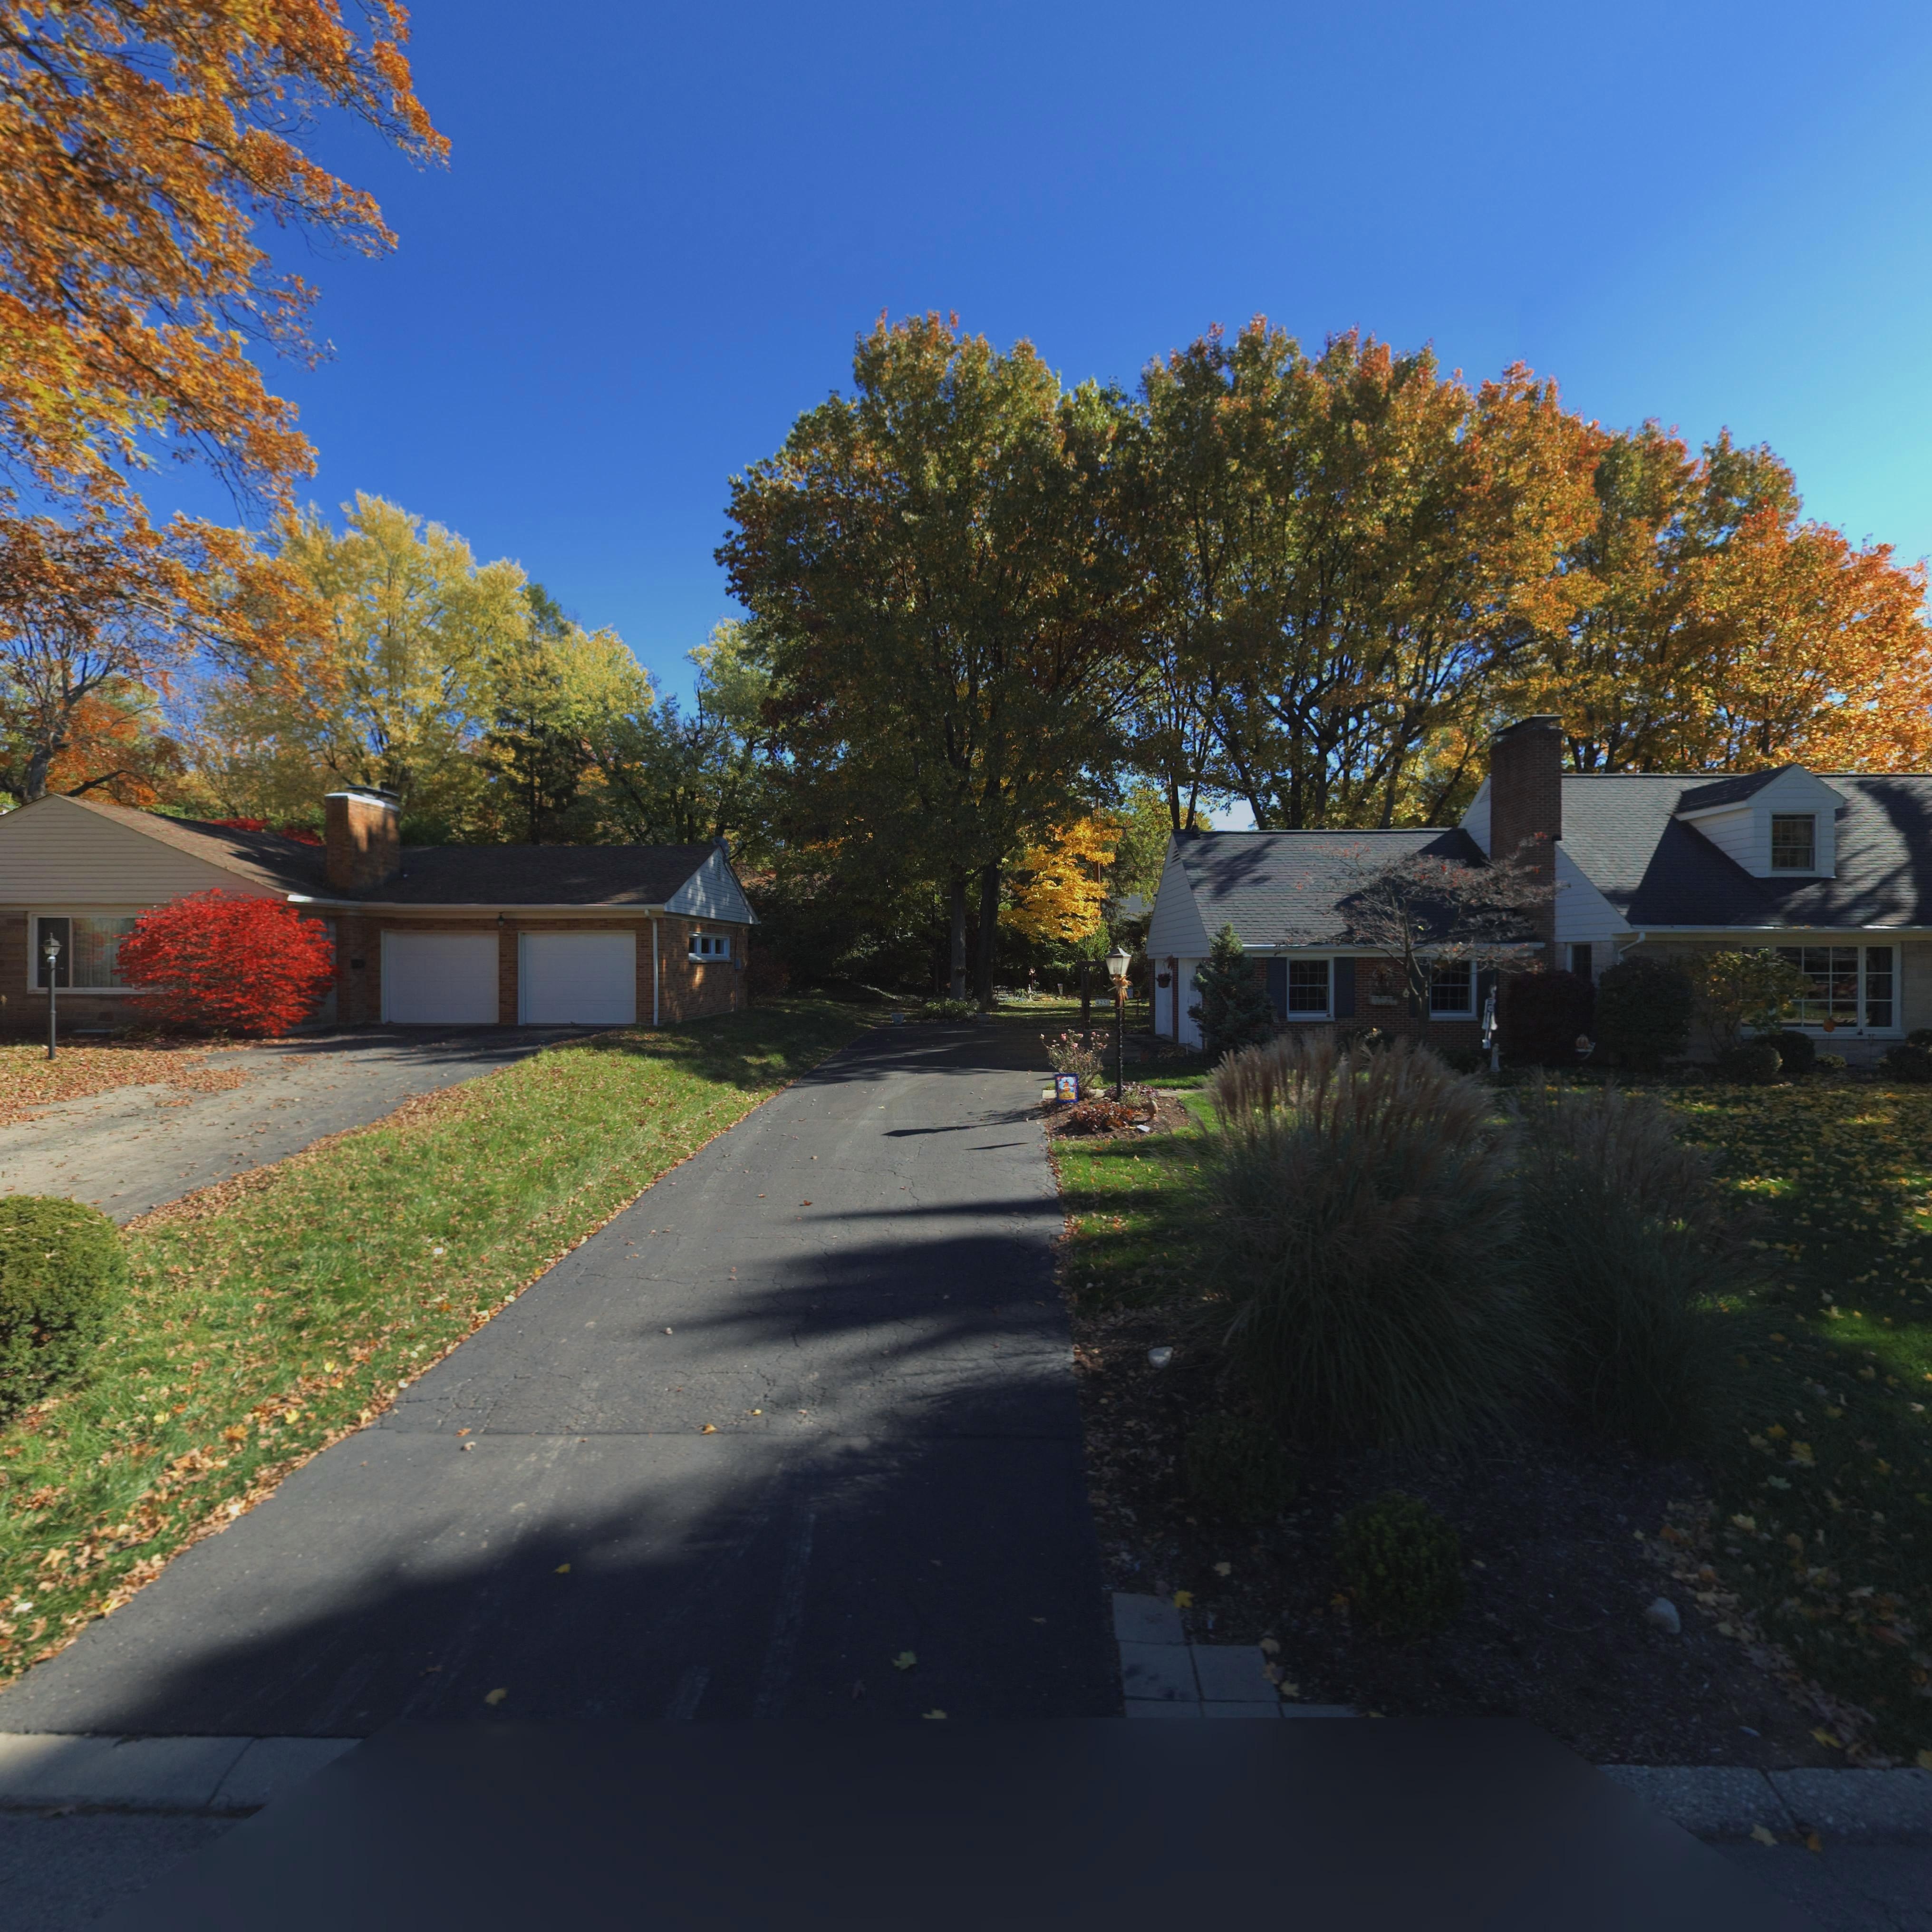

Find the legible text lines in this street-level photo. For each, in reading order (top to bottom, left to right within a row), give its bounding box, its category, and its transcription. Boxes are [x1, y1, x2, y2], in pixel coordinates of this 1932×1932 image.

[1095, 999, 1111, 1005] StreetNumber: 4250